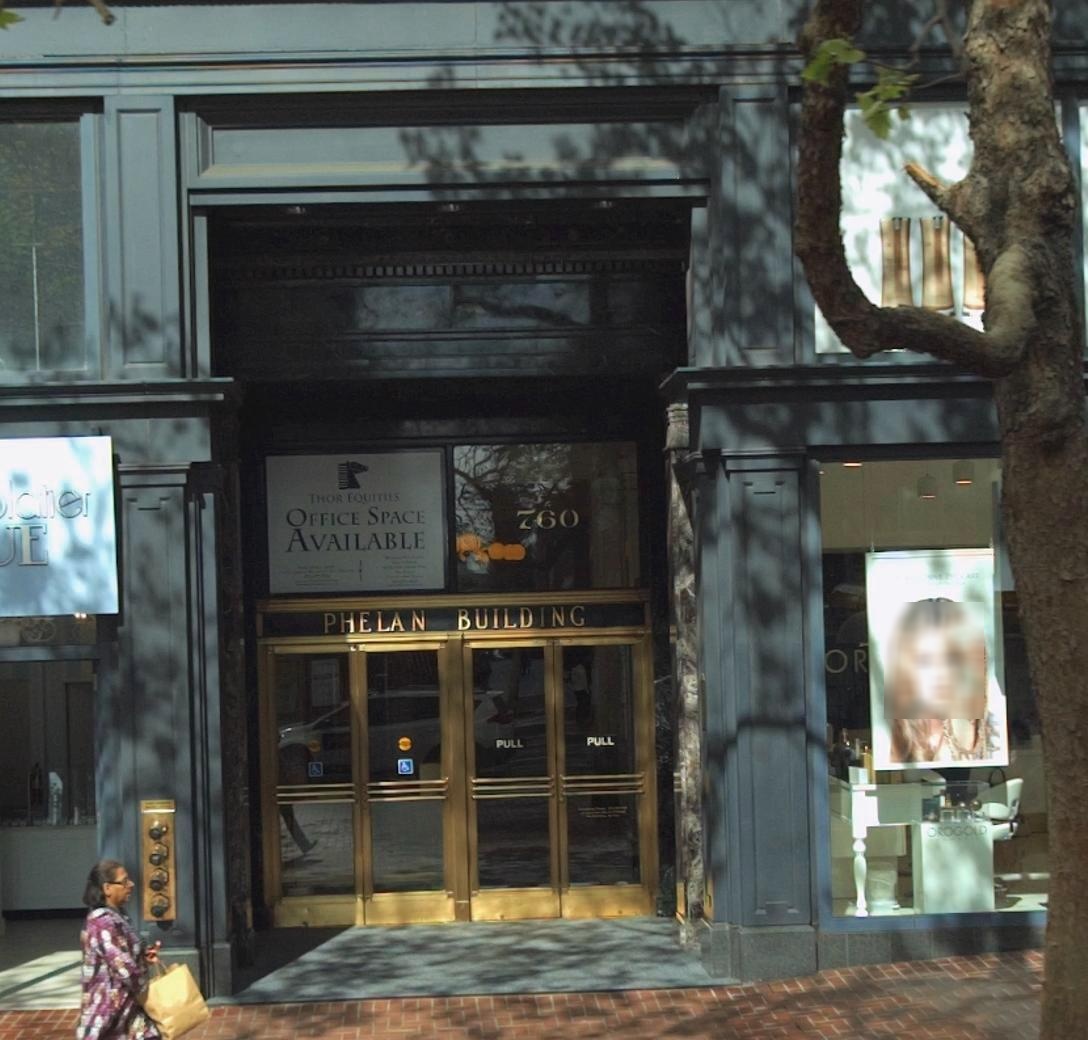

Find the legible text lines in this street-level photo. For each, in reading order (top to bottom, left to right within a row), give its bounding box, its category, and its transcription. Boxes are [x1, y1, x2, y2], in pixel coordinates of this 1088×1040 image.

[8, 484, 98, 525] BusinessName: aller
[304, 489, 405, 508] None: THOR EQUITIES
[282, 503, 431, 531] None: OFFICE SPACE
[513, 505, 584, 534] StreetNumber: 760
[15, 518, 52, 571] BusinessName: E
[281, 524, 430, 556] None: AVAILABLE
[321, 601, 590, 639] None: PHELAN BUILDING
[821, 642, 872, 680] None: OR
[493, 735, 528, 753] None: PULL
[583, 733, 619, 750] None: PULL
[925, 822, 990, 841] None: OROGOLD